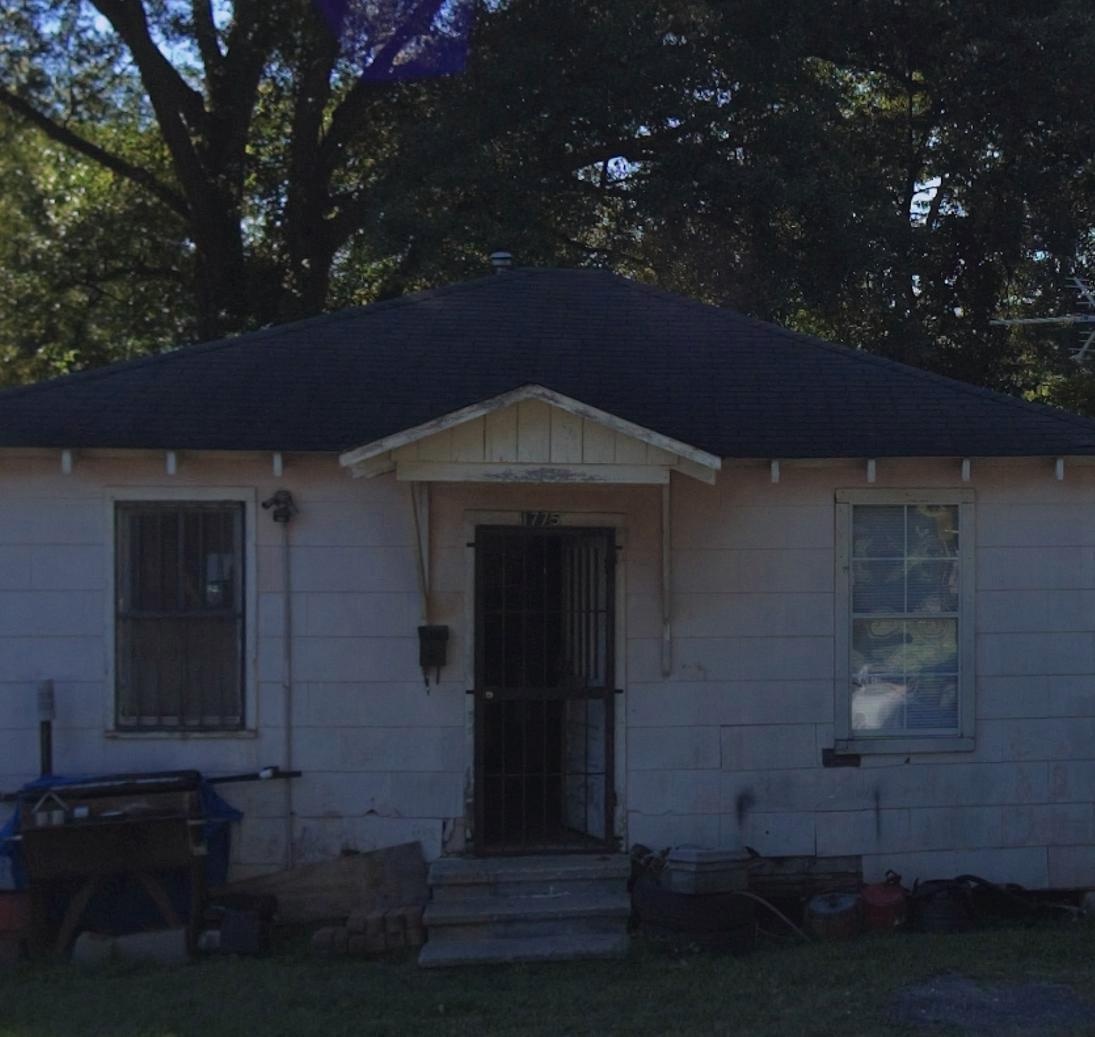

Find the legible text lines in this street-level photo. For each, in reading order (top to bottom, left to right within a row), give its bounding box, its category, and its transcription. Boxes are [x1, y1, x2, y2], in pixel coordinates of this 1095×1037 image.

[522, 511, 562, 527] StreetNumber: 1775